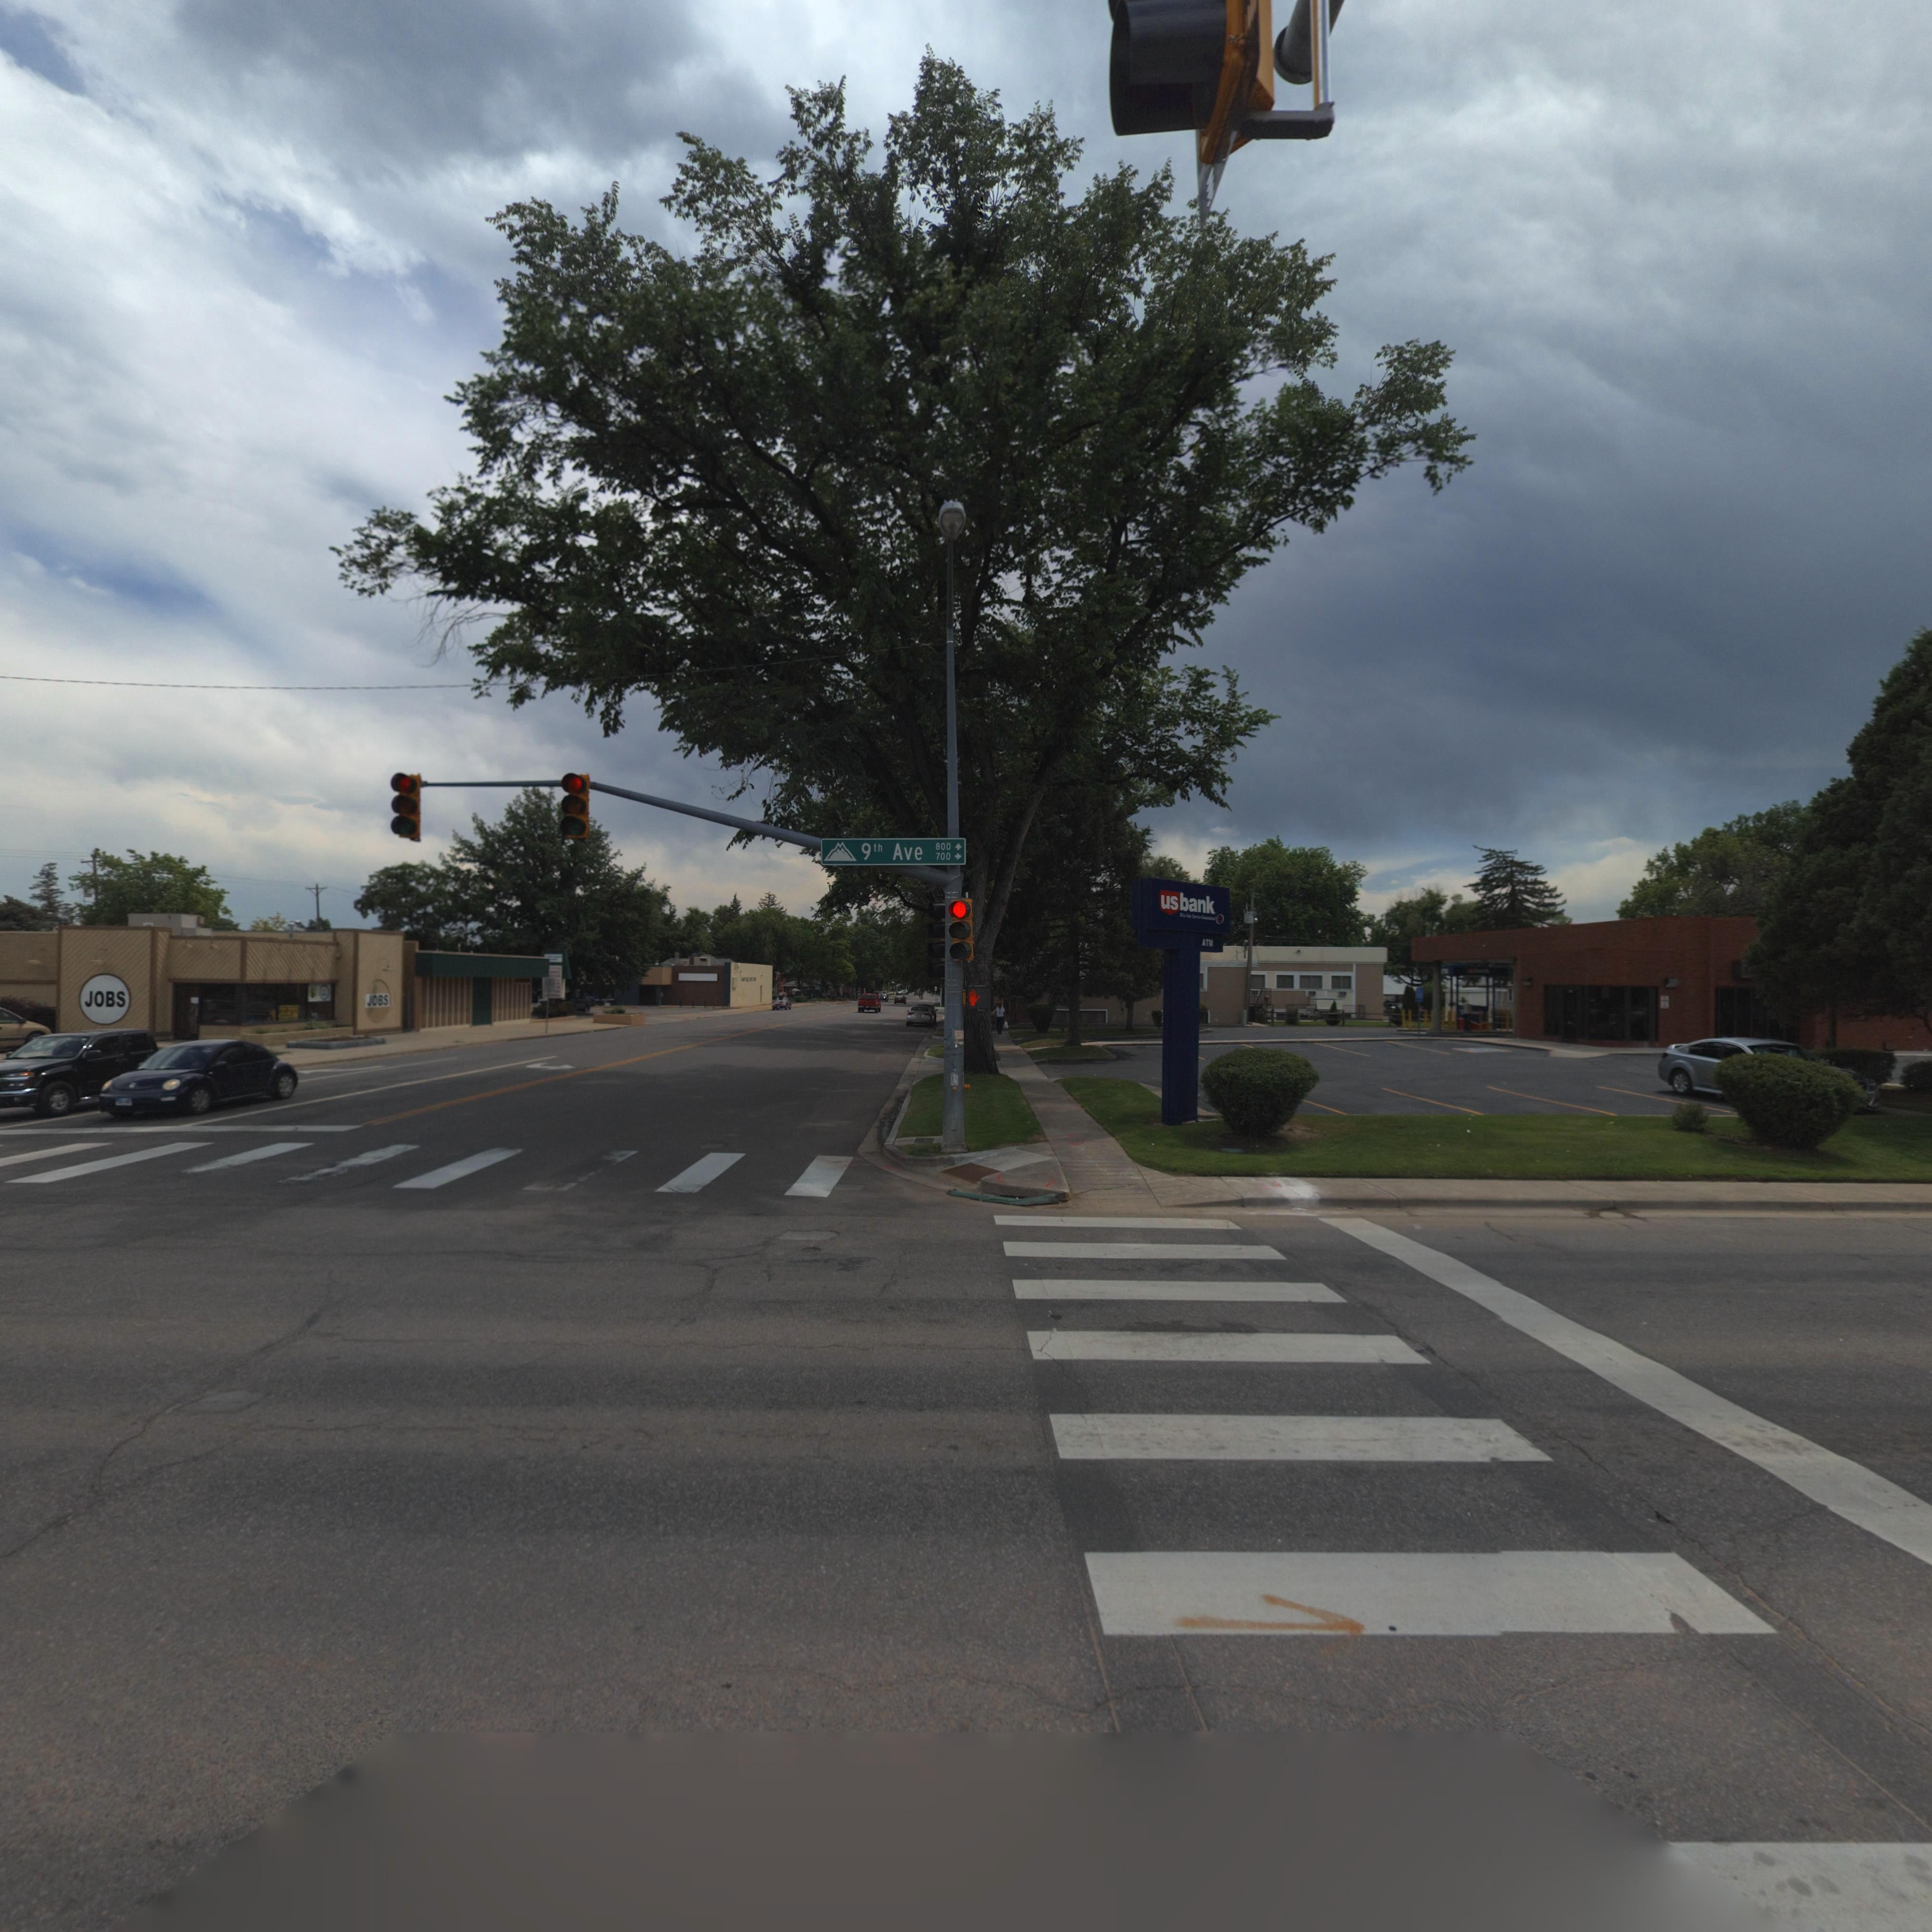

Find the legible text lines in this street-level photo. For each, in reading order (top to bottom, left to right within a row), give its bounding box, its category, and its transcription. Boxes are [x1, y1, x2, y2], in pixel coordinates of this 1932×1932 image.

[861, 842, 923, 861] StreetName: 9th Ave
[935, 842, 951, 850] StreetNumberRange: 800
[935, 852, 962, 860] StreetNumberRange: 700->
[84, 990, 126, 1007] BusinessName: JOBS
[367, 995, 388, 1006] BusinessName: JOBS